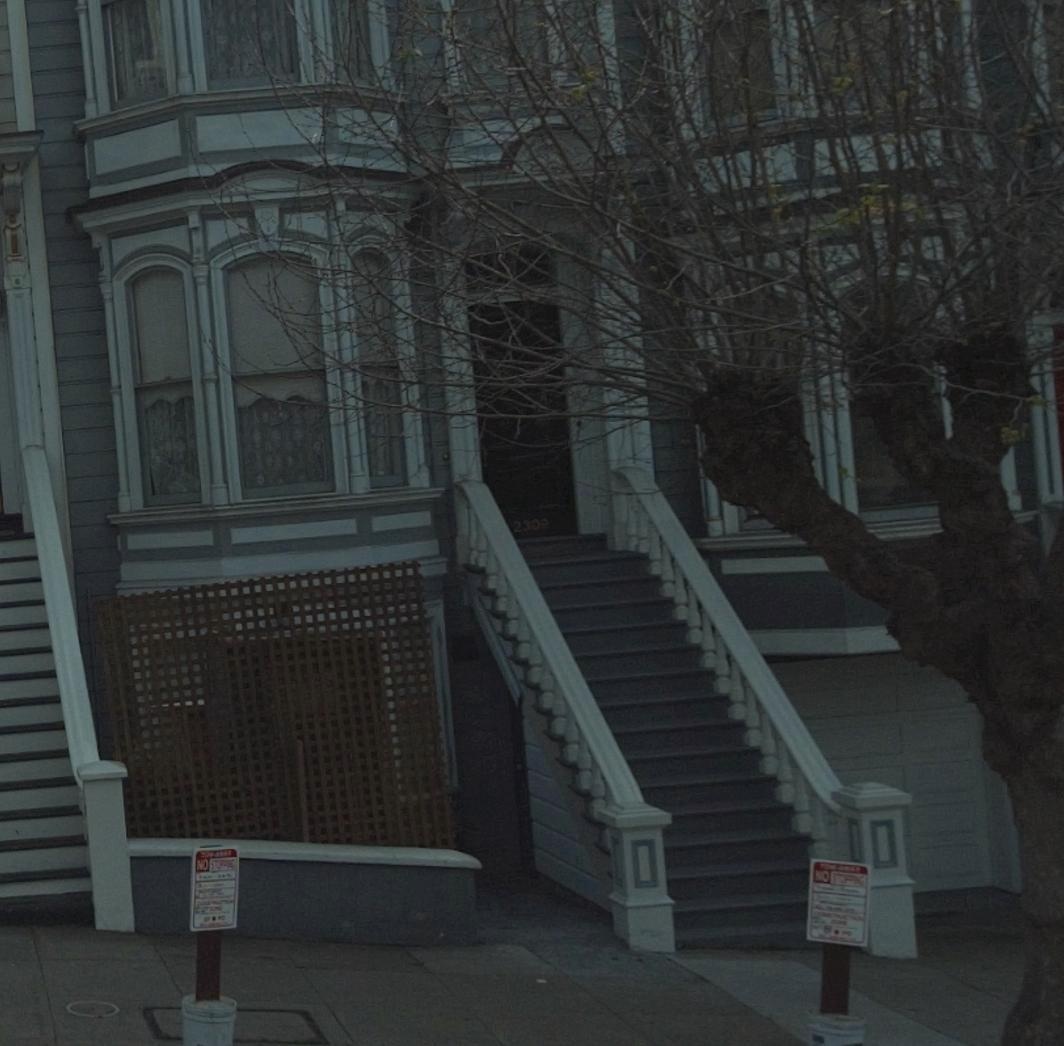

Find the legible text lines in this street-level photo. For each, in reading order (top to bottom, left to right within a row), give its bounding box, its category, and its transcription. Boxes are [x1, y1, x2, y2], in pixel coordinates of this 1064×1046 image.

[510, 515, 552, 536] StreetNumber: 2309
[194, 856, 211, 873] None: NO
[813, 867, 832, 886] None: NO